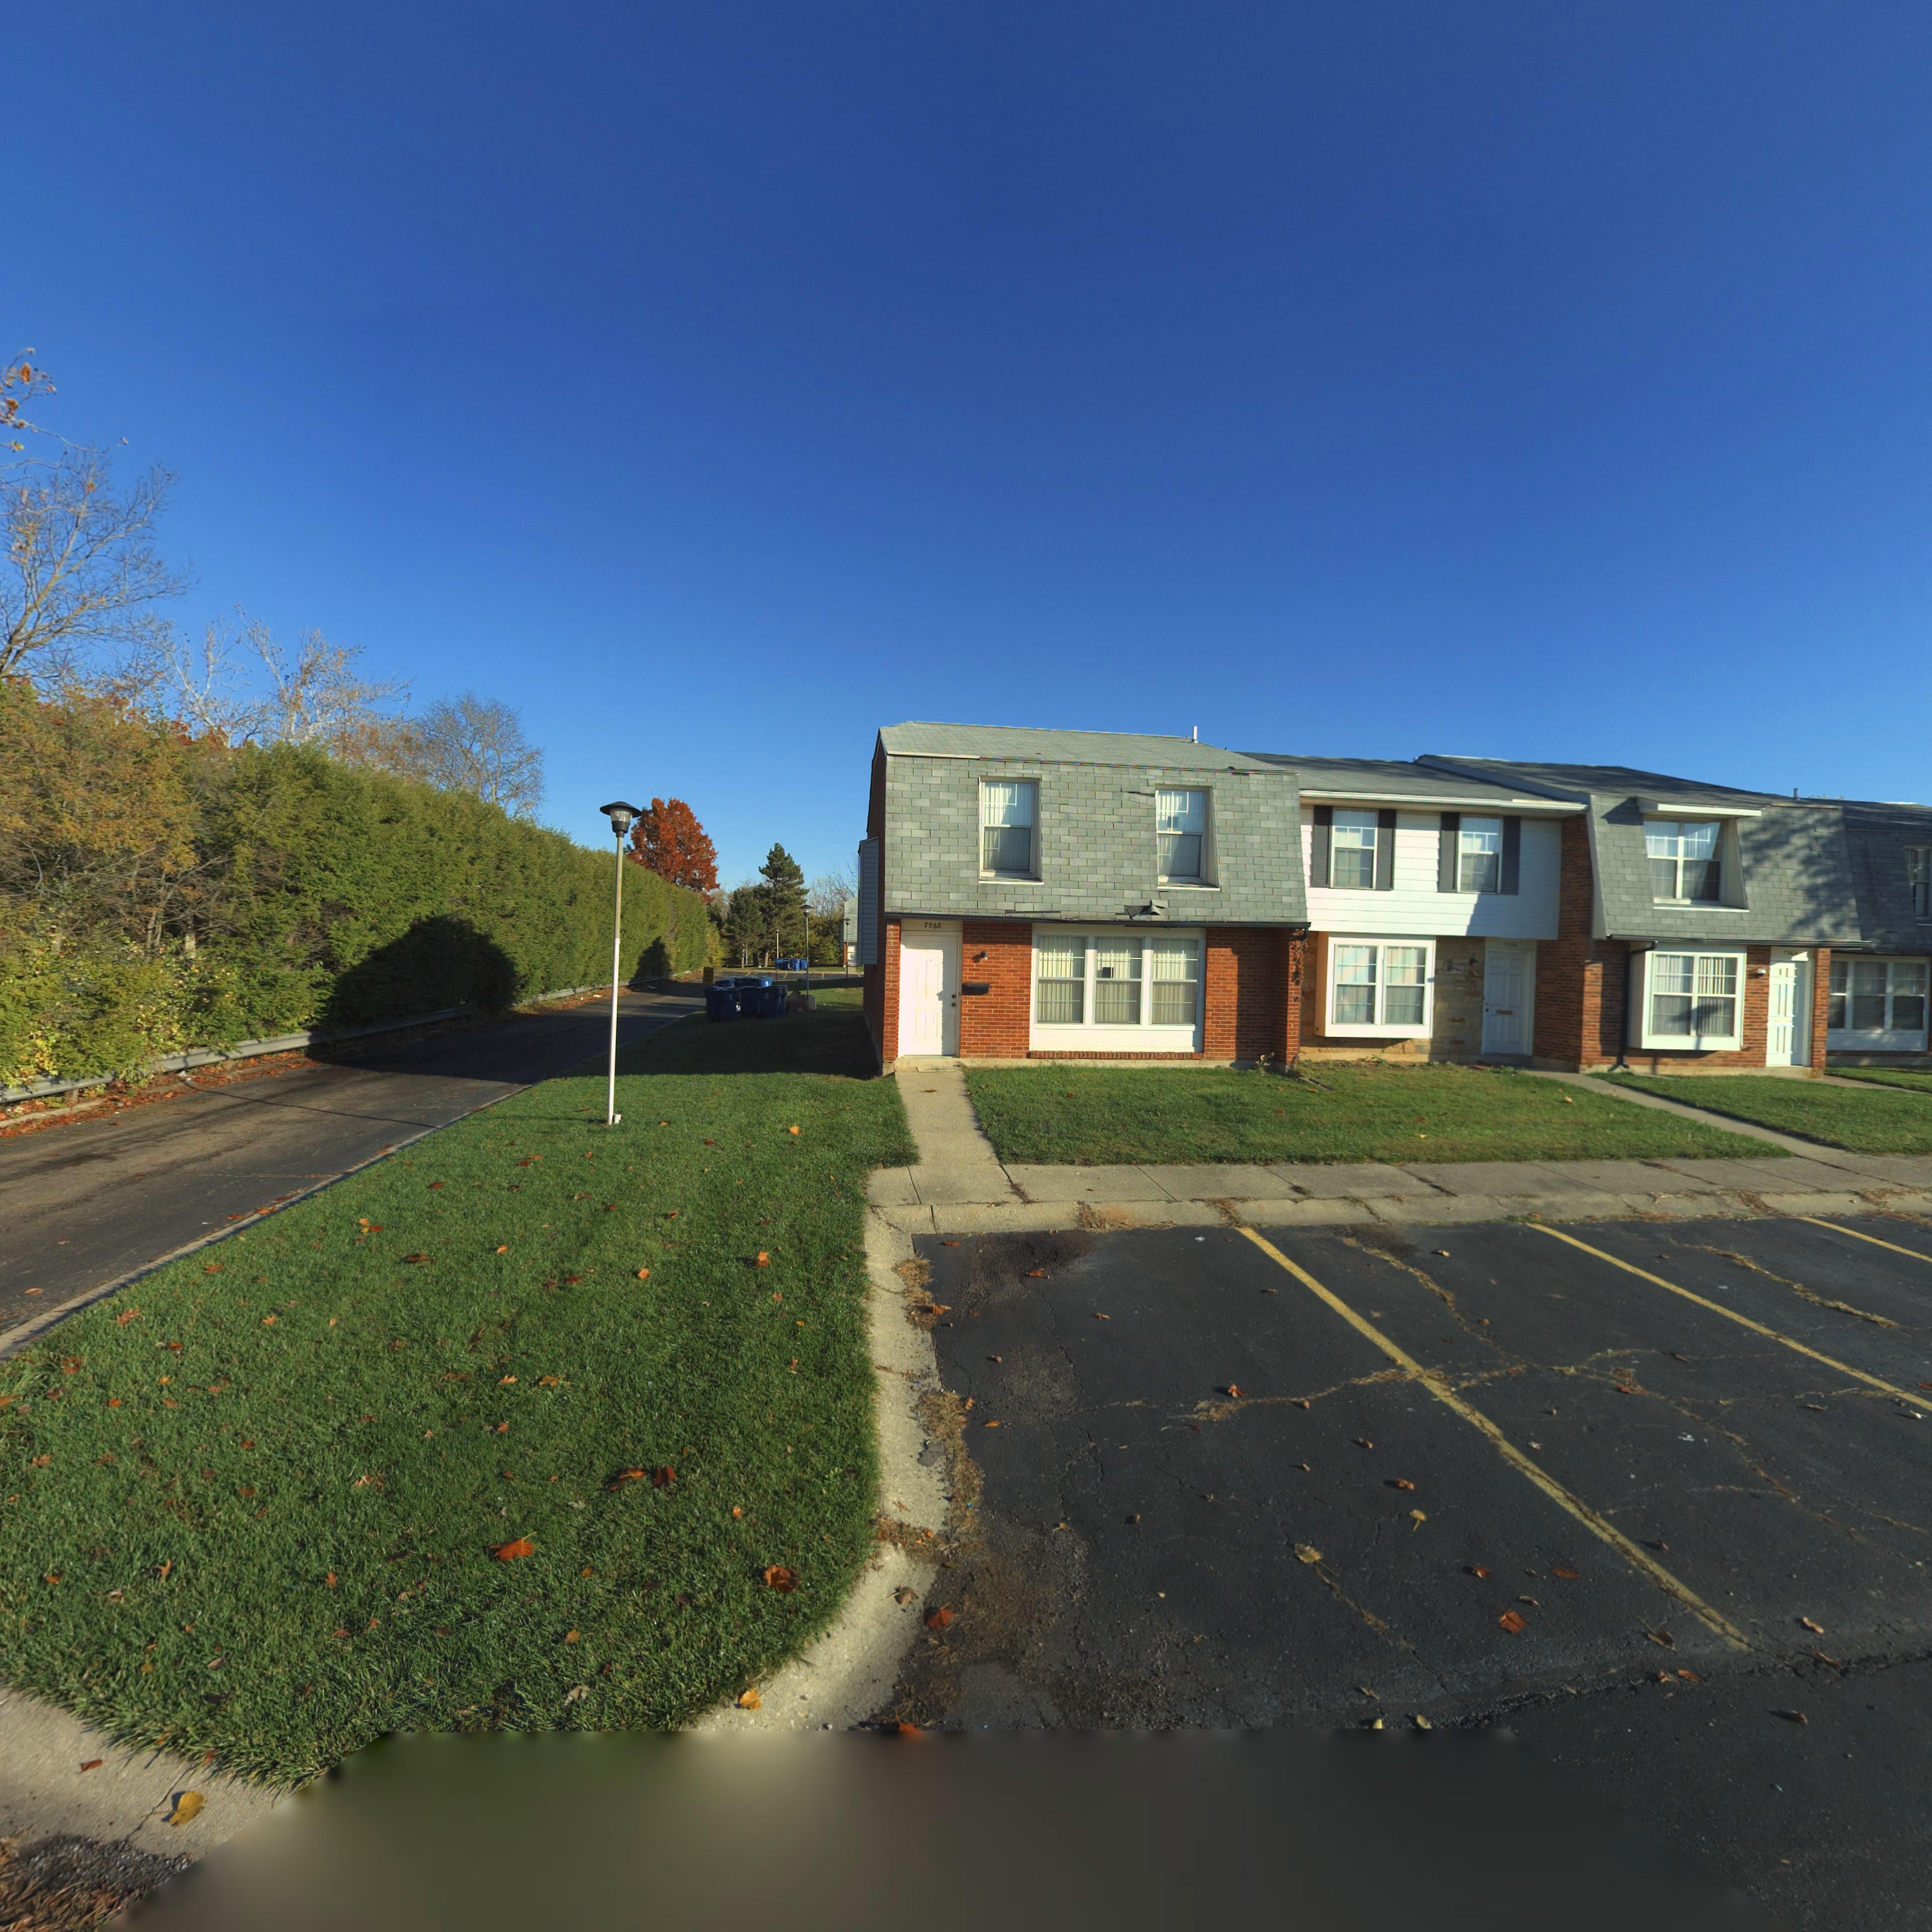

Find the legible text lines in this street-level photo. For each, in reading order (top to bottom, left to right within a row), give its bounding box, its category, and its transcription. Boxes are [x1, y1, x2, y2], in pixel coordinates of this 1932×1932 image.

[923, 921, 943, 930] StreetNumber: 7568
[1781, 949, 1799, 957] StreetNumber: 756*